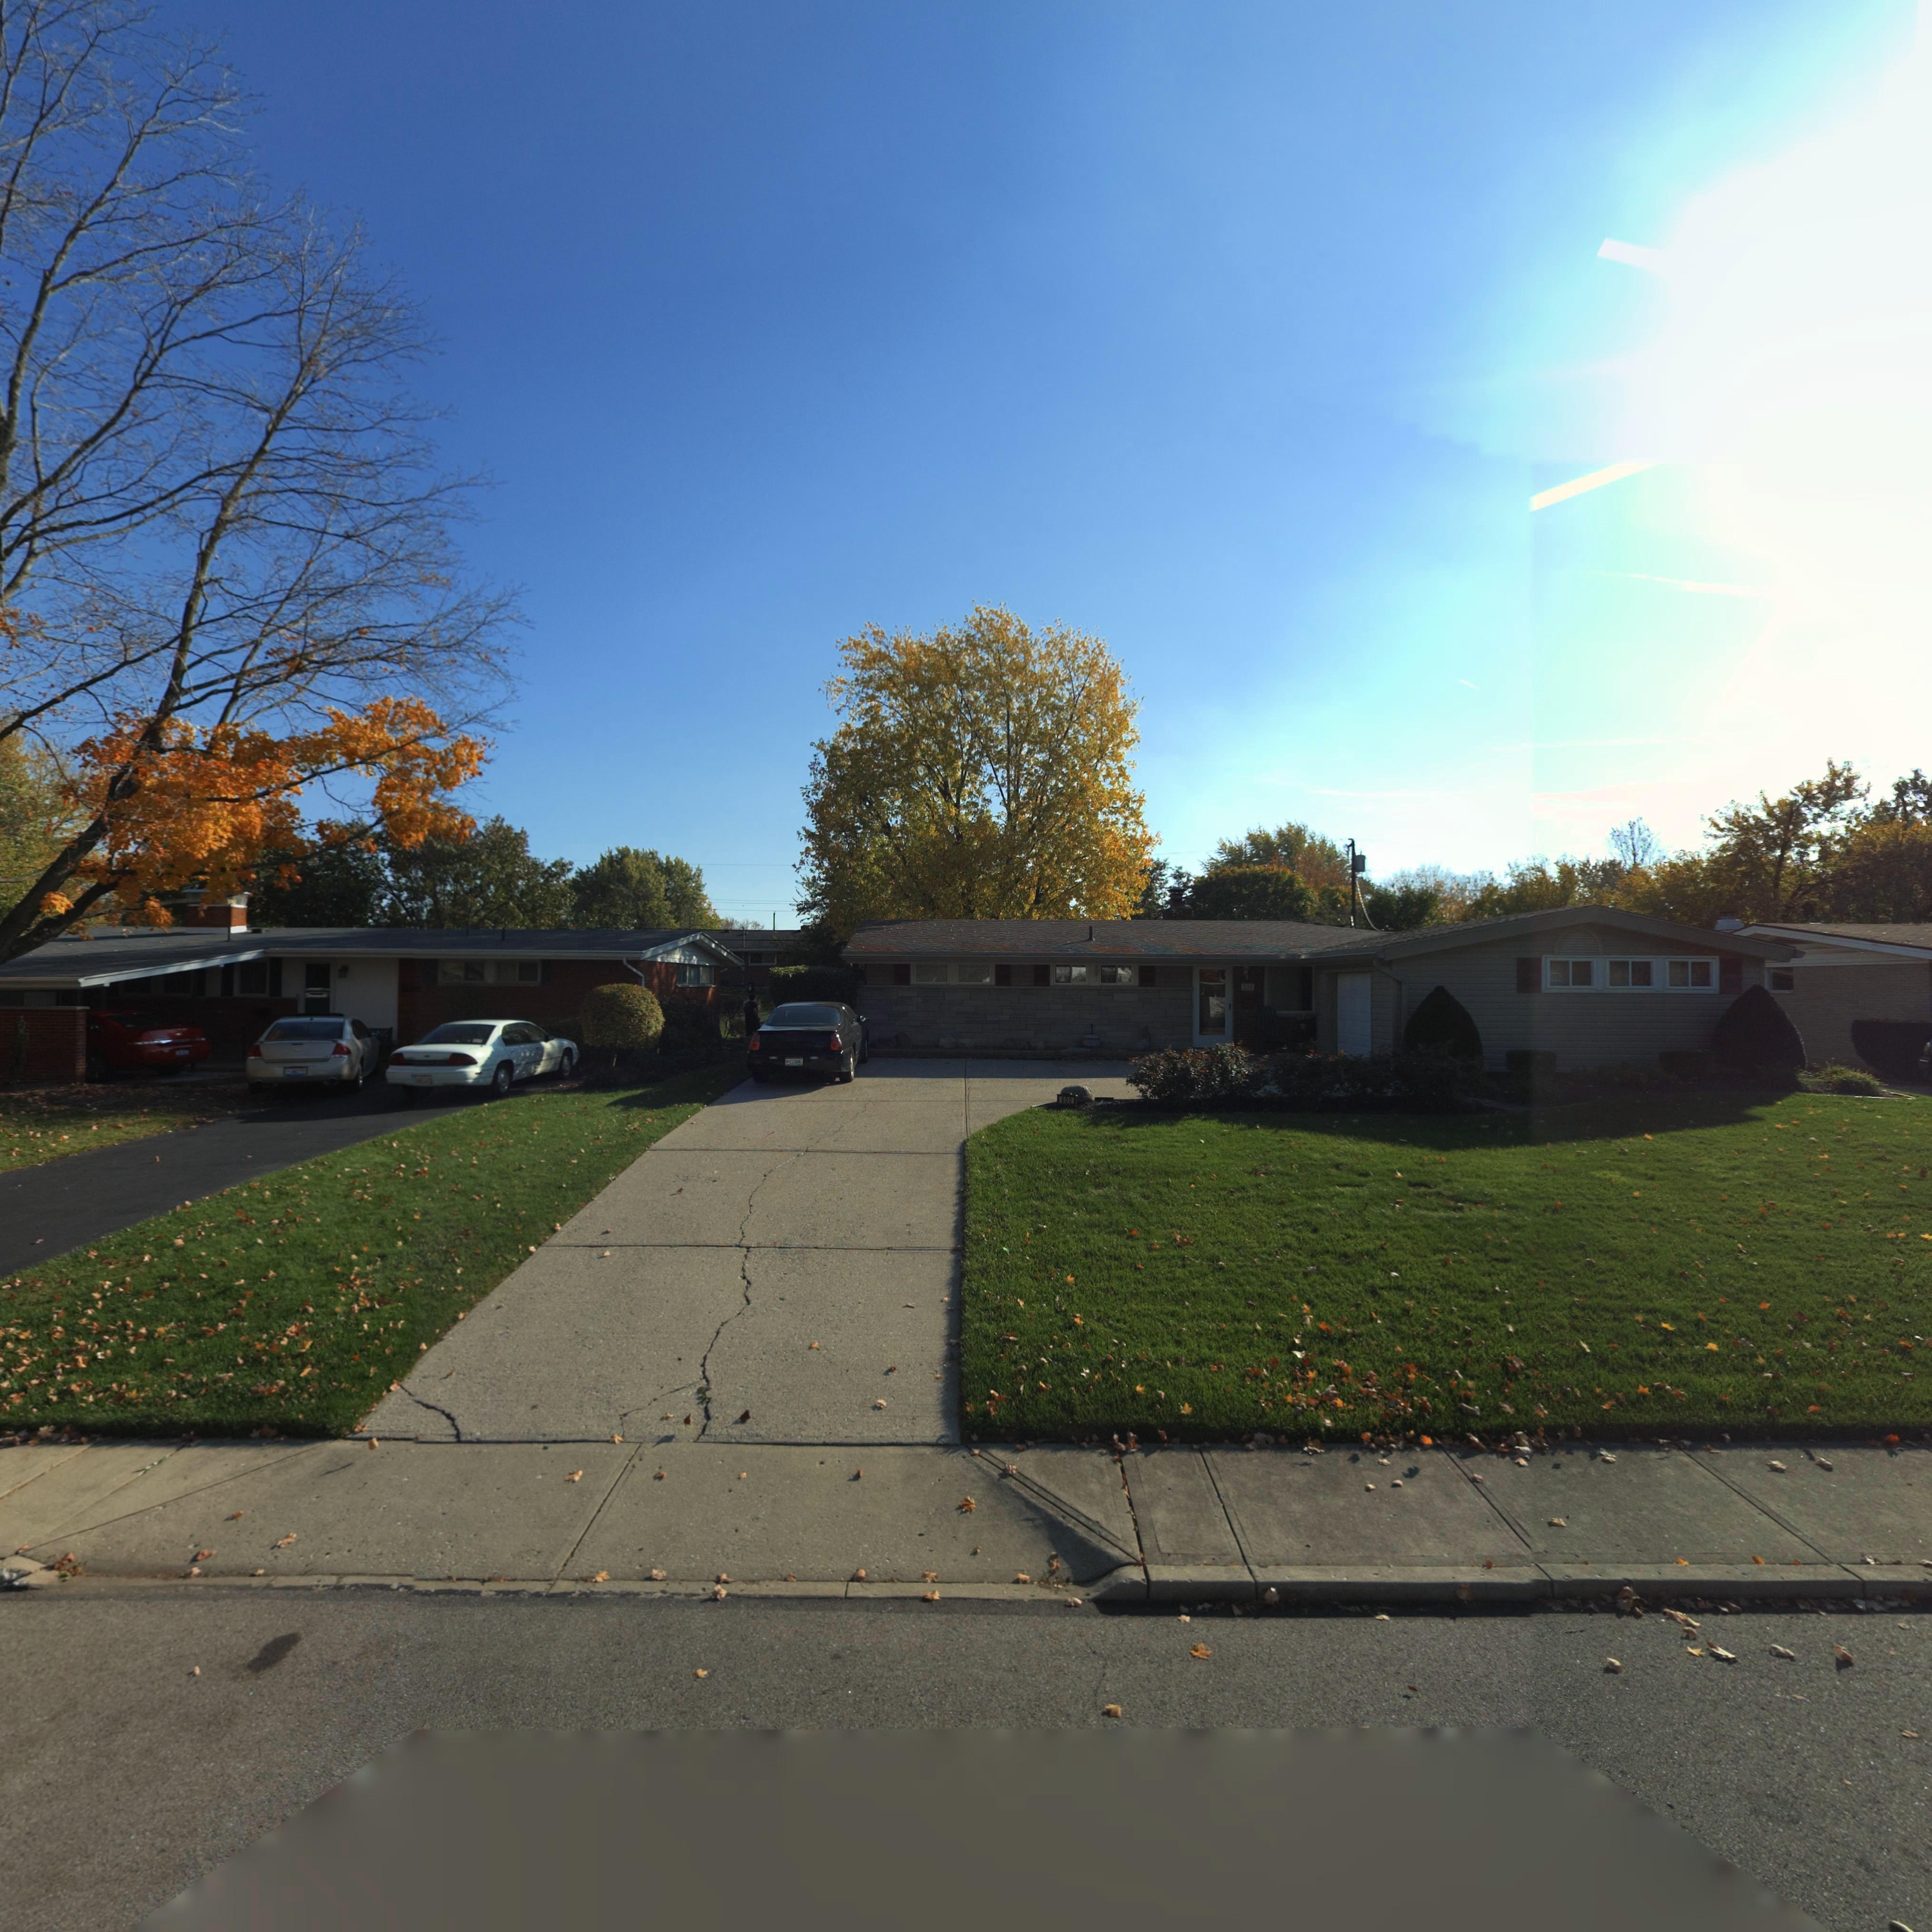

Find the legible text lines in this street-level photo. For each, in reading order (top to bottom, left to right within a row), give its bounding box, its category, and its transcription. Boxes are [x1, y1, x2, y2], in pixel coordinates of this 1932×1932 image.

[1060, 1096, 1072, 1105] StreetNumber: 800